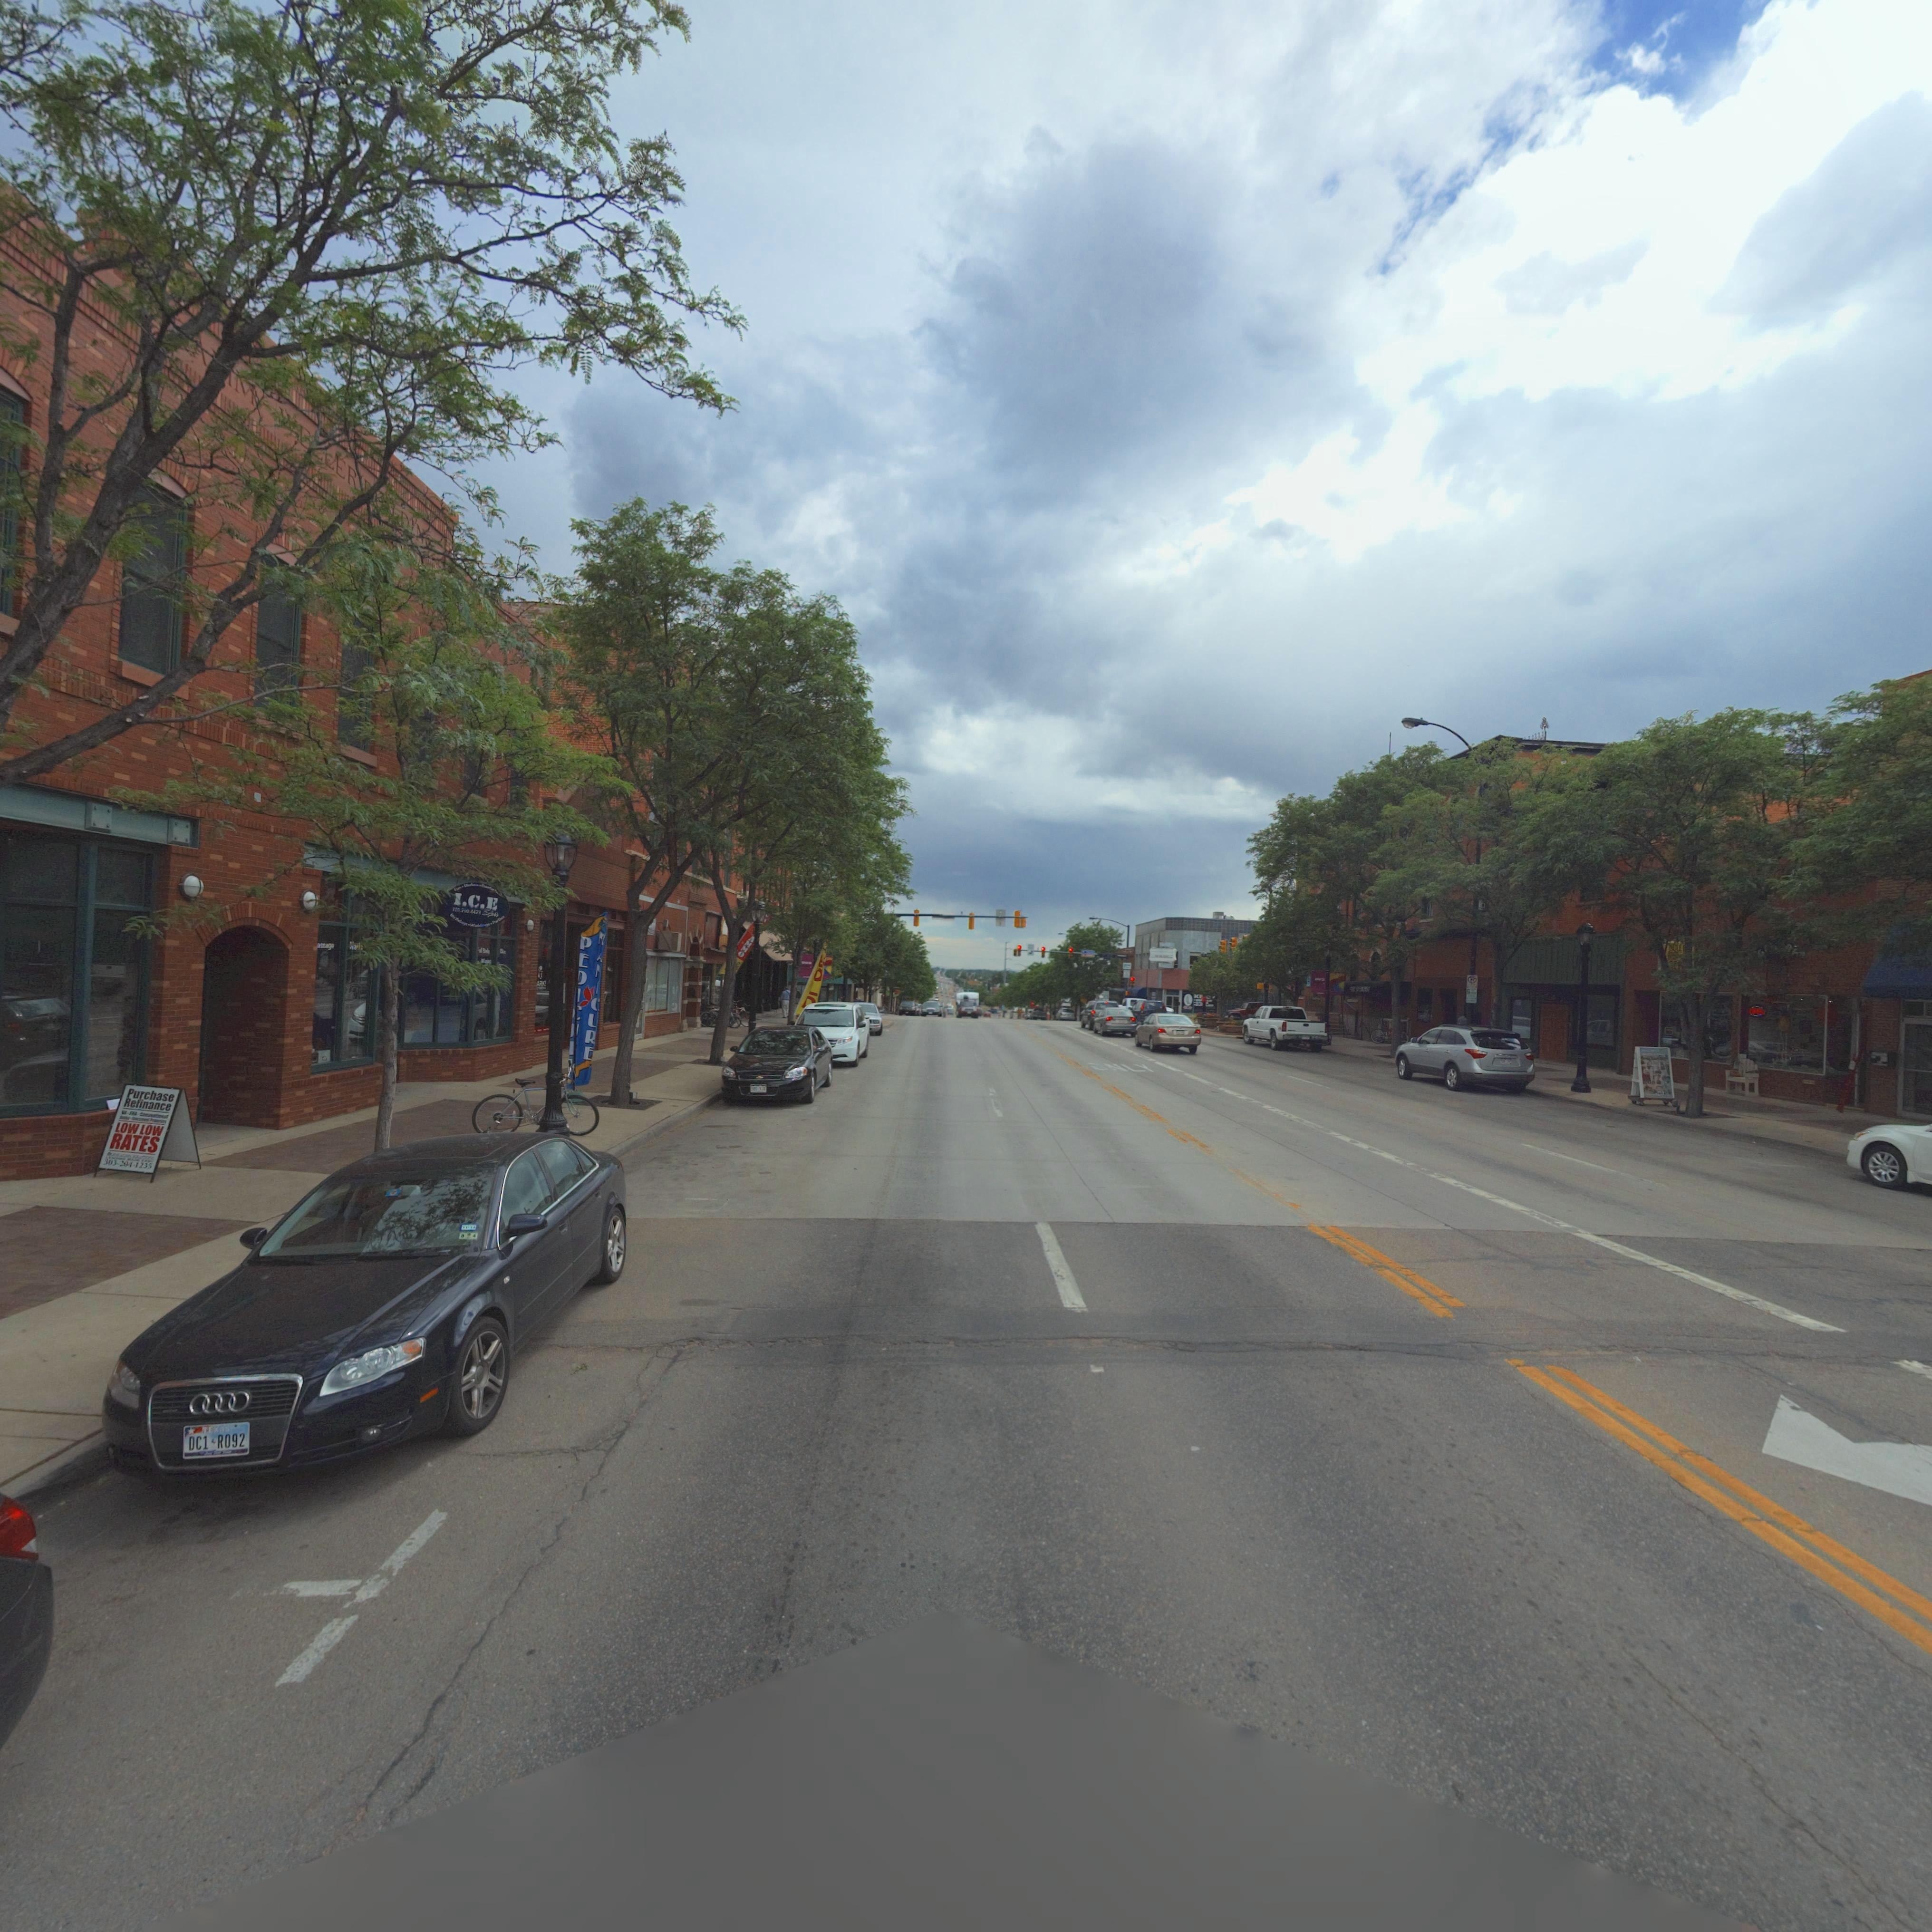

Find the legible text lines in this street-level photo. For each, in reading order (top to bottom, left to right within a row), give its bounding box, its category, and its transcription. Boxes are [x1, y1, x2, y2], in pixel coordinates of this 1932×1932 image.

[453, 892, 499, 911] BusinessName: I.C.E
[481, 908, 500, 918] BusinessName: Spa
[536, 980, 547, 986] BusinessName: *AR**
[1194, 994, 1216, 999] BusinessName: K****